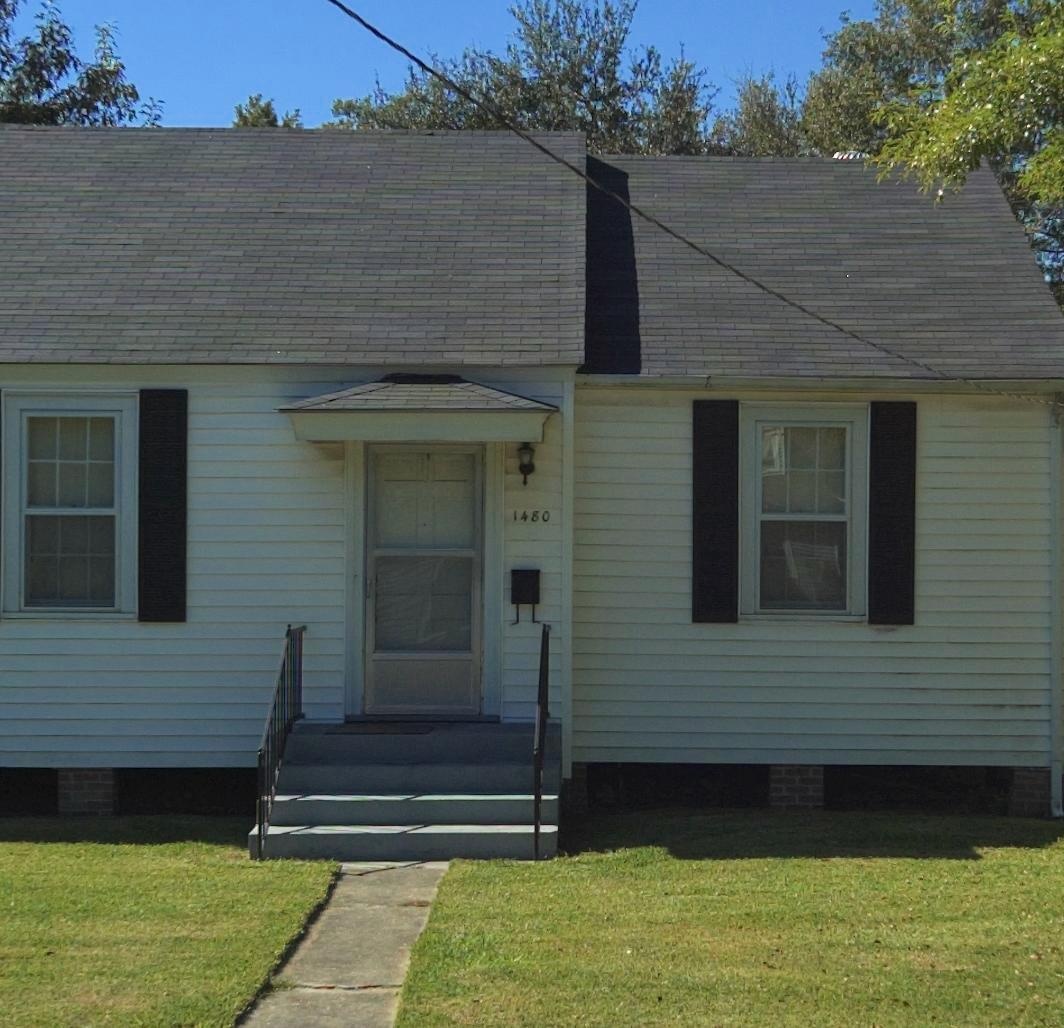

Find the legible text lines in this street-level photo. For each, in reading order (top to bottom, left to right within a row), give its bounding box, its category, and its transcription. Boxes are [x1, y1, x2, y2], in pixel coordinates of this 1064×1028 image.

[512, 508, 552, 524] StreetNumber: 1480